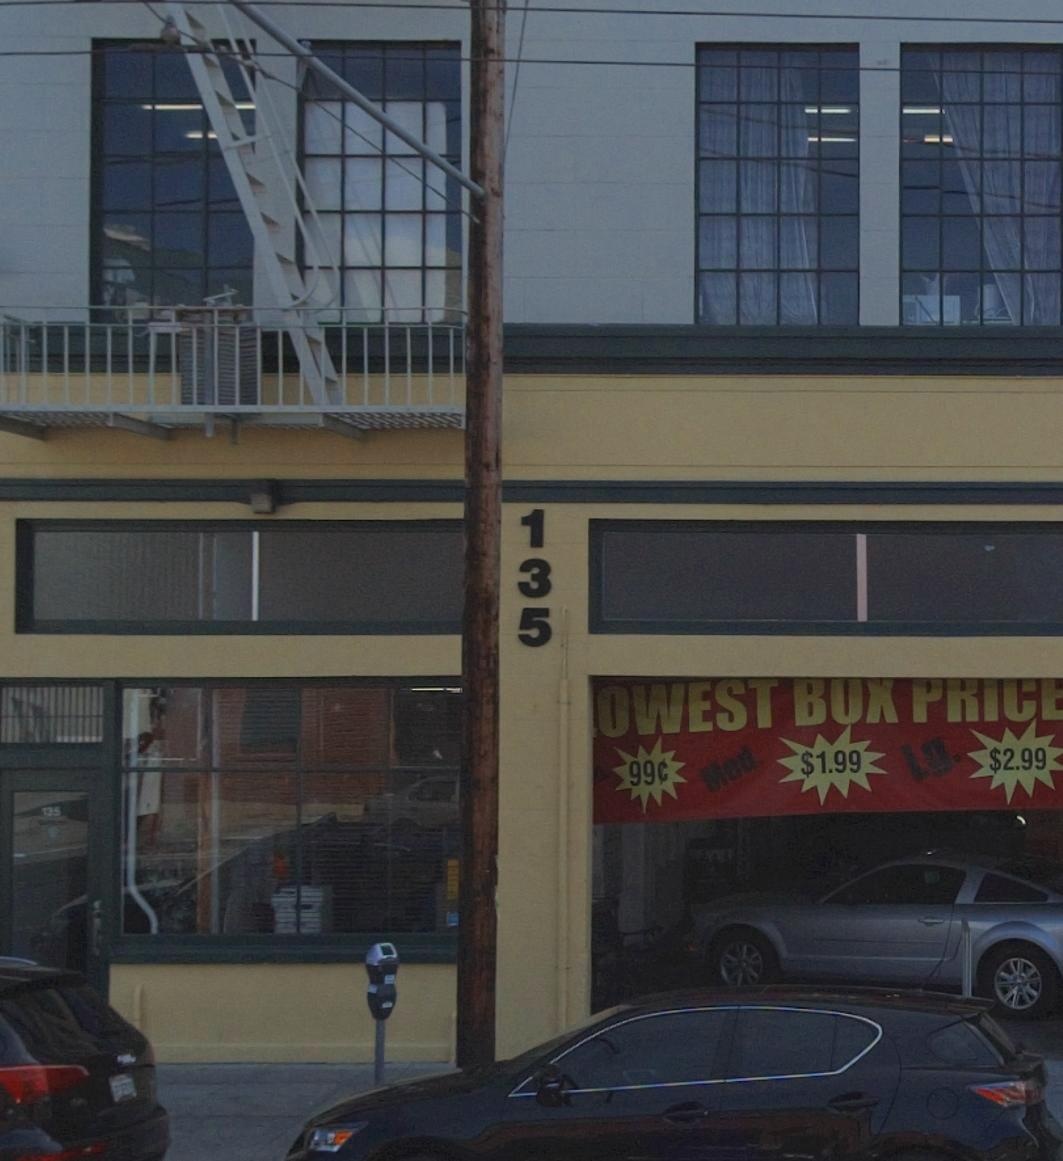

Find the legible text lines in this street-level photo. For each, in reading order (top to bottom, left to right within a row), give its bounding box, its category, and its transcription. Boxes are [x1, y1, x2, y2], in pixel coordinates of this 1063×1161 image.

[513, 505, 556, 652] StreetNumber: 135
[590, 672, 785, 742] None: OWEST
[625, 757, 672, 791] None: 99*
[693, 741, 772, 799] None: Med.
[798, 746, 865, 781] None: $1.99
[892, 734, 970, 788] None: Lg.
[984, 744, 1050, 777] None: $2.99